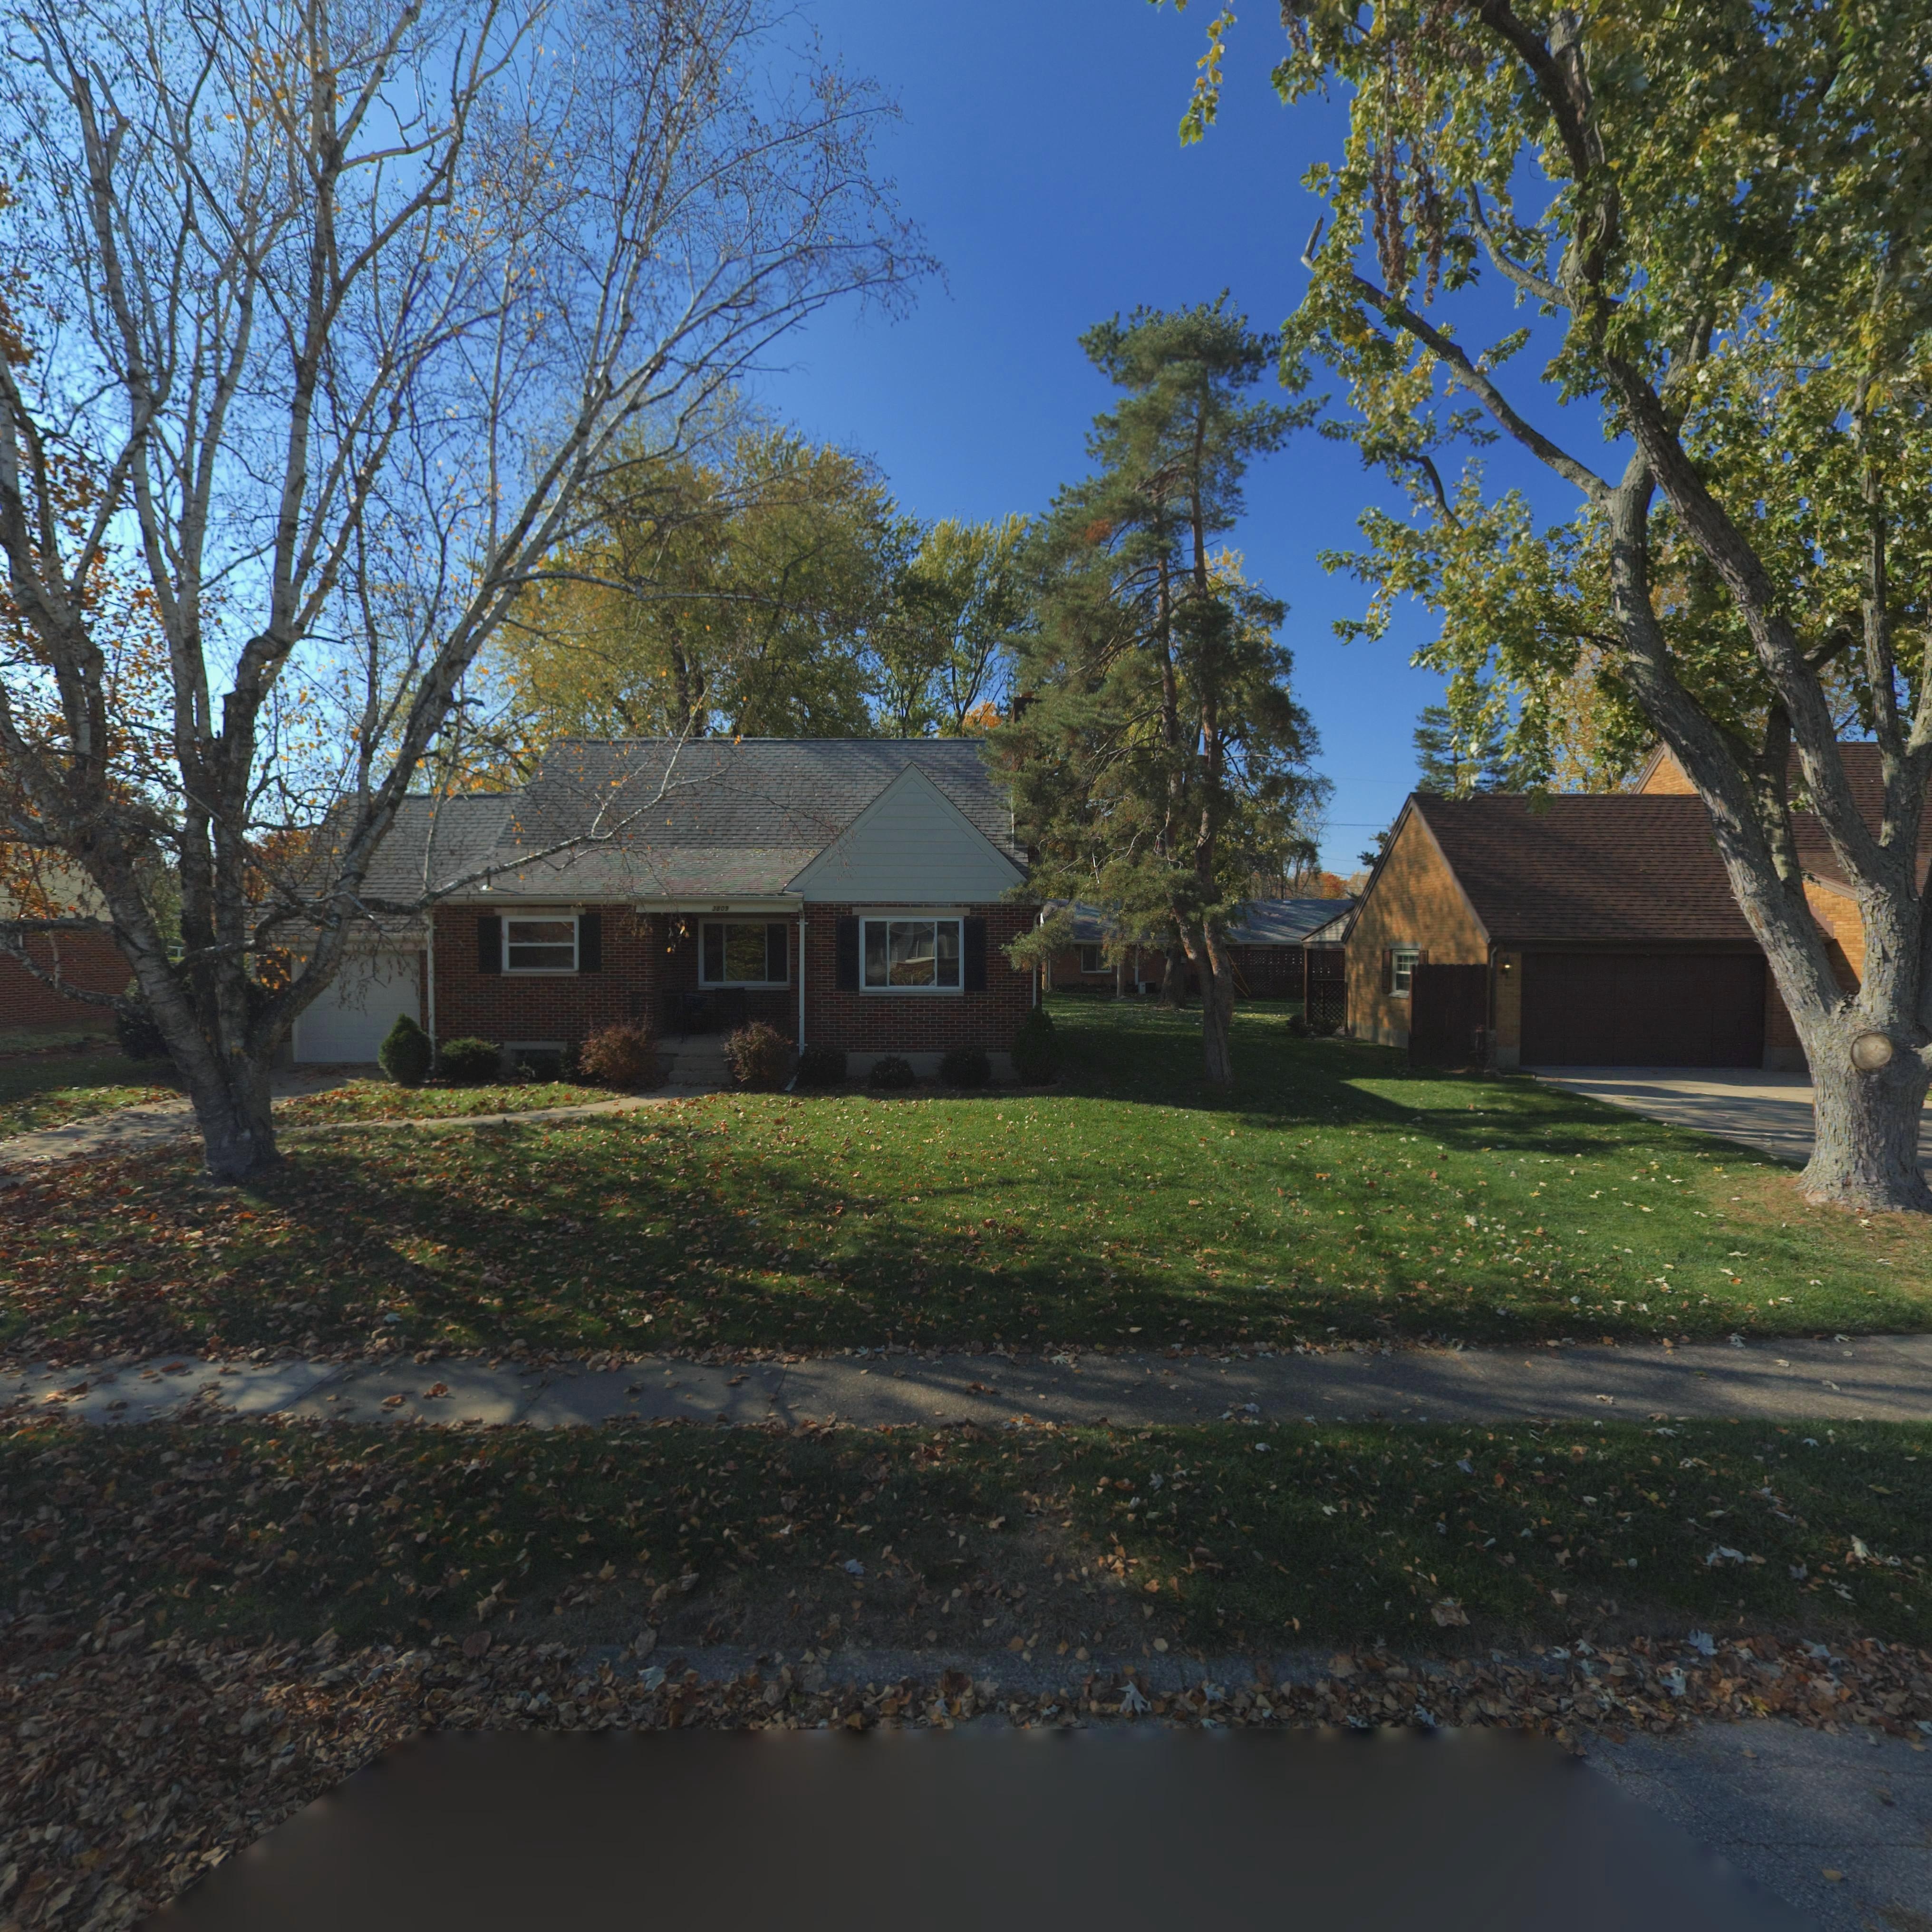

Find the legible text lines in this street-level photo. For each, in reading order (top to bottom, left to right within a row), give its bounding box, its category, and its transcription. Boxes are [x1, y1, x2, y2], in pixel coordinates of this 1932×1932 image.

[712, 905, 730, 911] StreetNumber: 3809